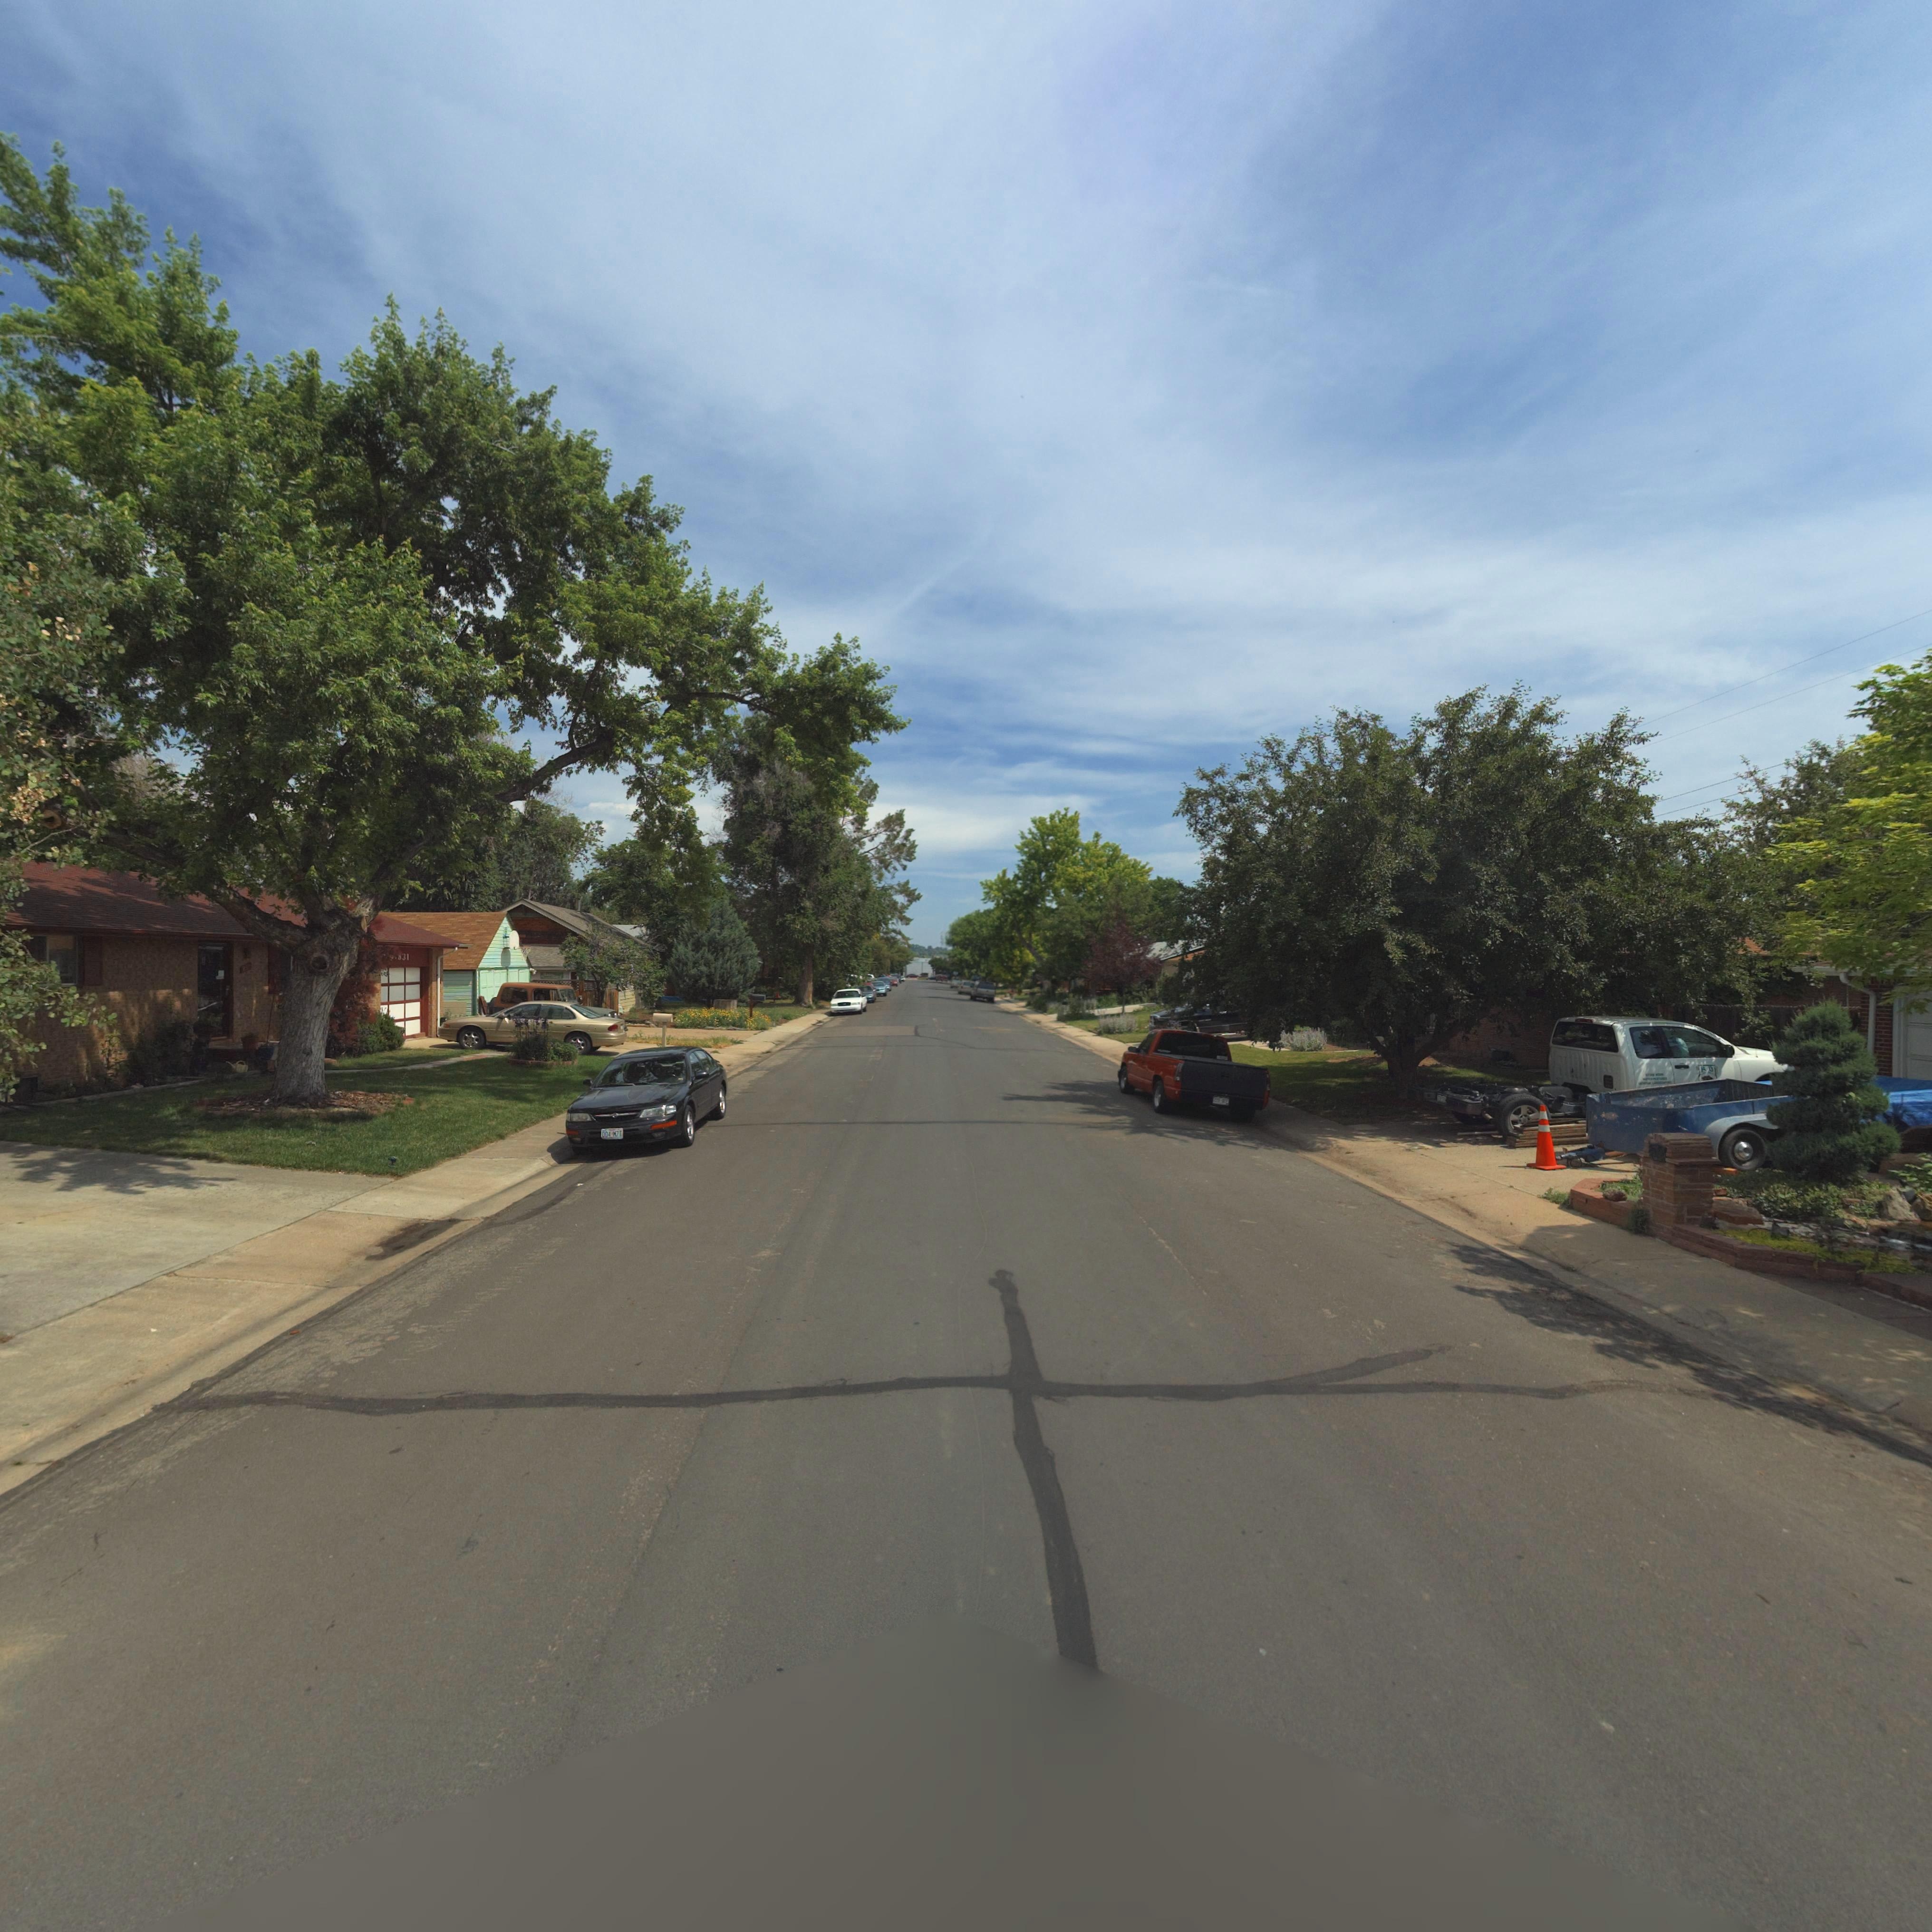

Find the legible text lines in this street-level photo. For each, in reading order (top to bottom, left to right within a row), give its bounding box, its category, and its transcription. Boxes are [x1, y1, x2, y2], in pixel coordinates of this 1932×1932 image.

[397, 953, 409, 960] StreetNumber: 831
[241, 963, 251, 972] StreetNumber: *3*